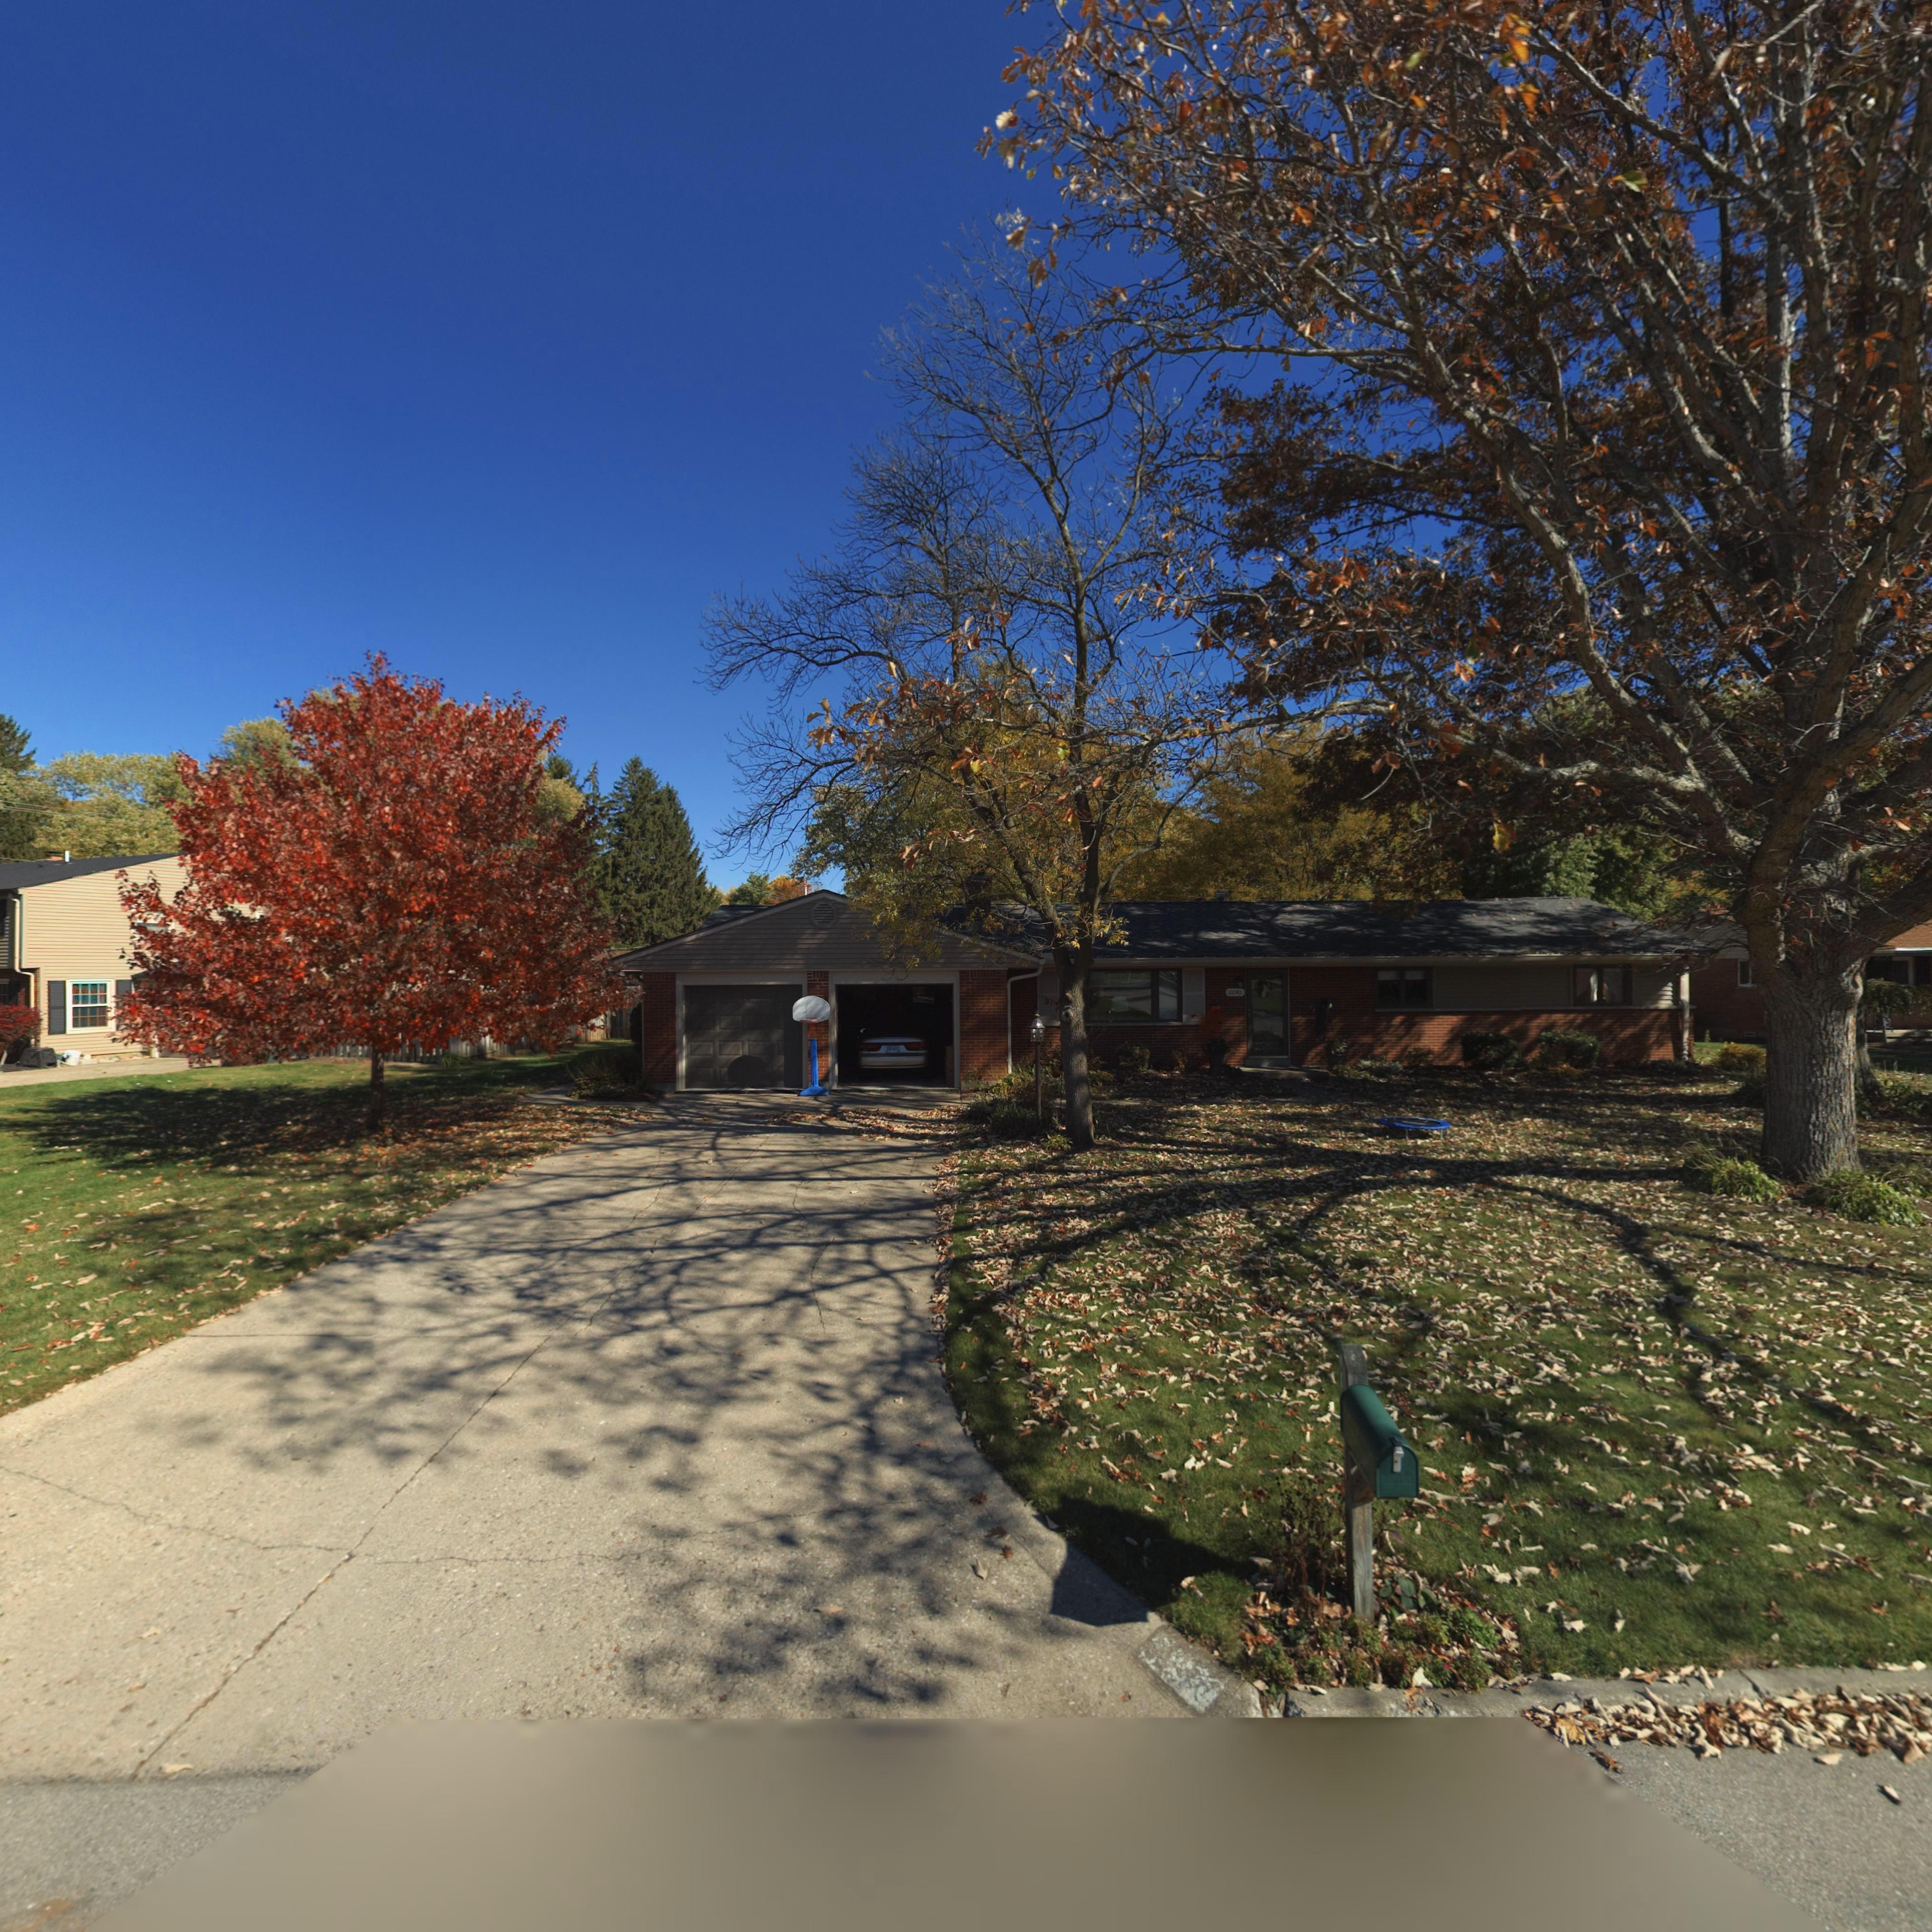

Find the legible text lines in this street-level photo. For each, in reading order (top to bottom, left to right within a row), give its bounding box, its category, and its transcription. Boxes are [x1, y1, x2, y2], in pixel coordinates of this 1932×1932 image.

[1227, 989, 1242, 995] StreetNumber: 6040